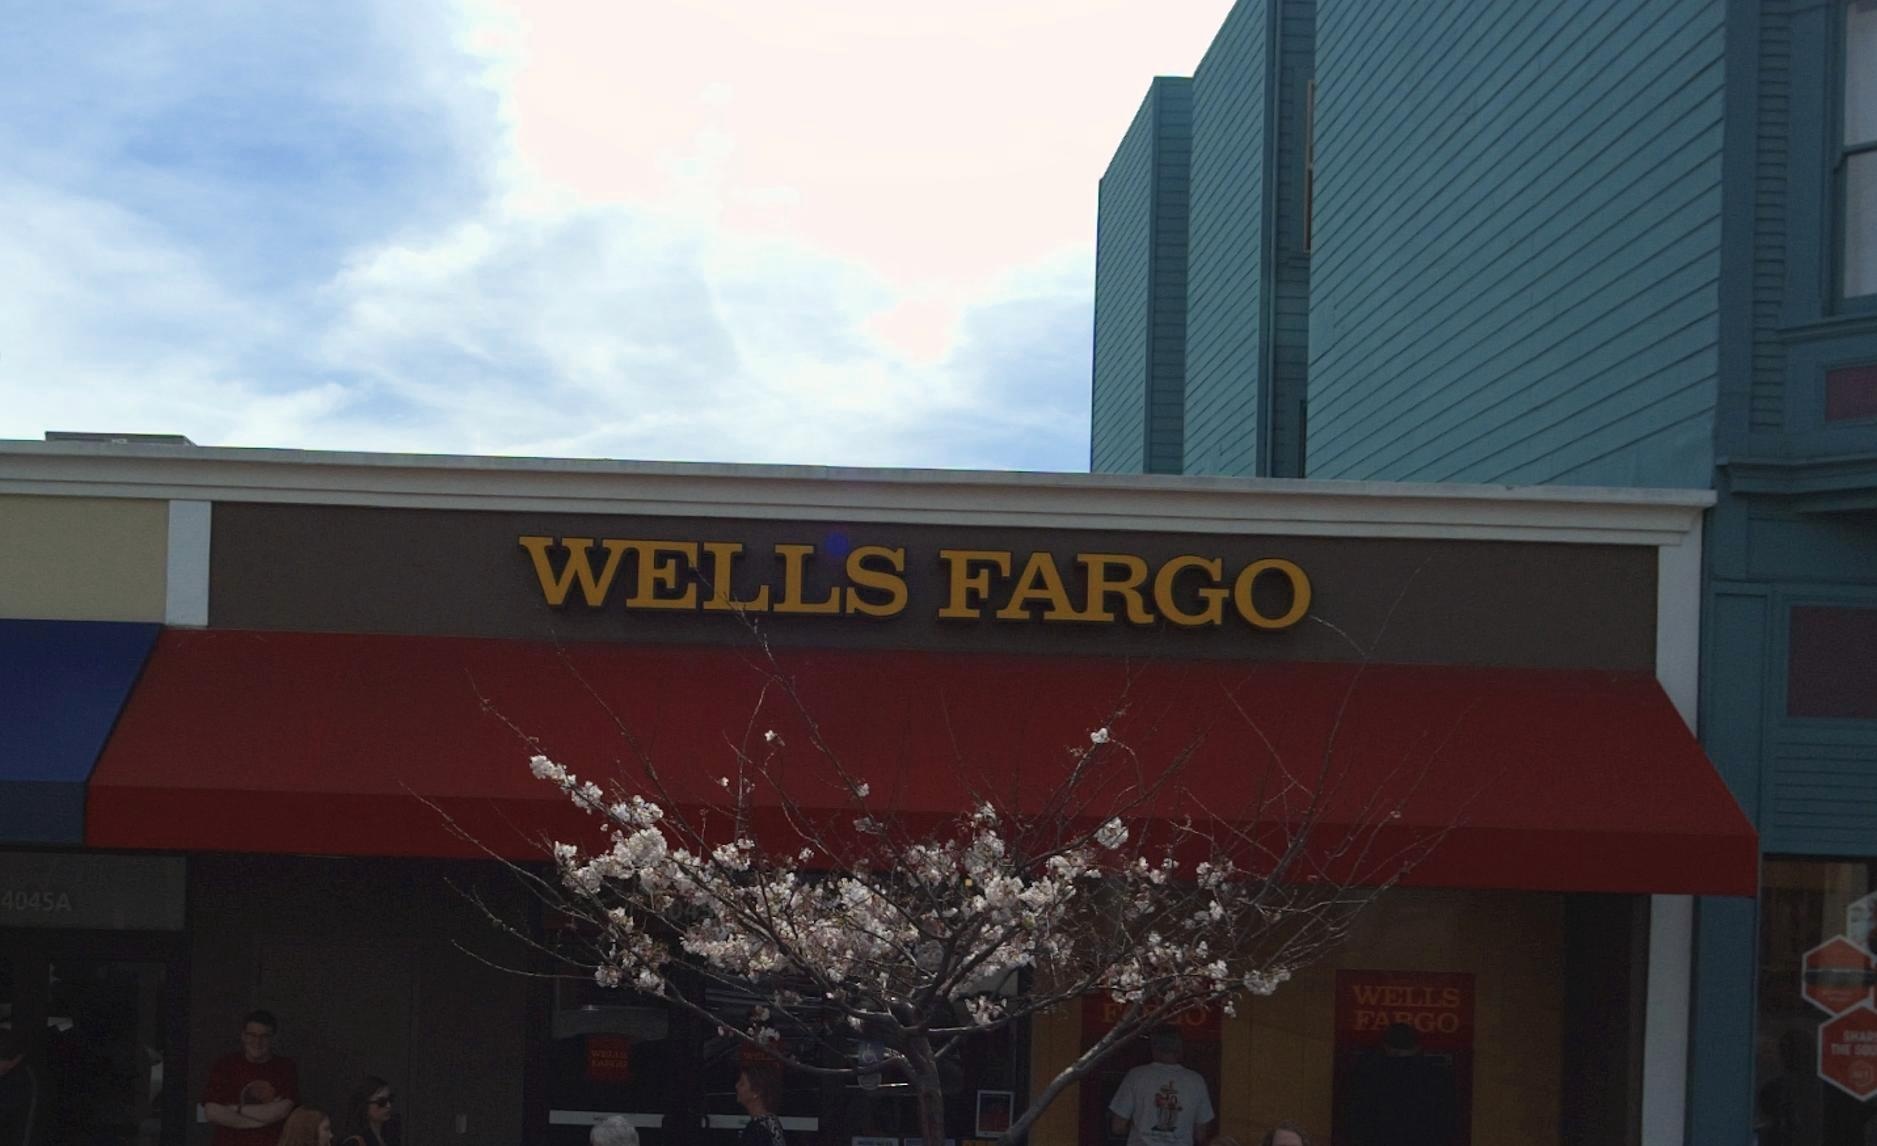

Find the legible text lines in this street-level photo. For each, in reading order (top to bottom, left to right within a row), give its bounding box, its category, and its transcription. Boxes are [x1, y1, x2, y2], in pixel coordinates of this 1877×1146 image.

[517, 534, 1313, 632] BusinessName: WELLS FARGO
[1, 887, 76, 914] StreetNumber: 4045A
[667, 899, 700, 922] StreetNumber: 04
[1350, 983, 1461, 1007] BusinessName: WELLS
[1102, 1000, 1207, 1027] BusinessName: F***O
[1354, 1008, 1461, 1034] BusinessName: FA*GO
[1843, 1027, 1876, 1043] None: SHAD
[587, 1047, 632, 1058] BusinessName: WELLS
[589, 1057, 632, 1069] BusinessName: FARGO
[742, 1050, 770, 1061] BusinessName: WEL
[1831, 1044, 1872, 1060] None: THE S*